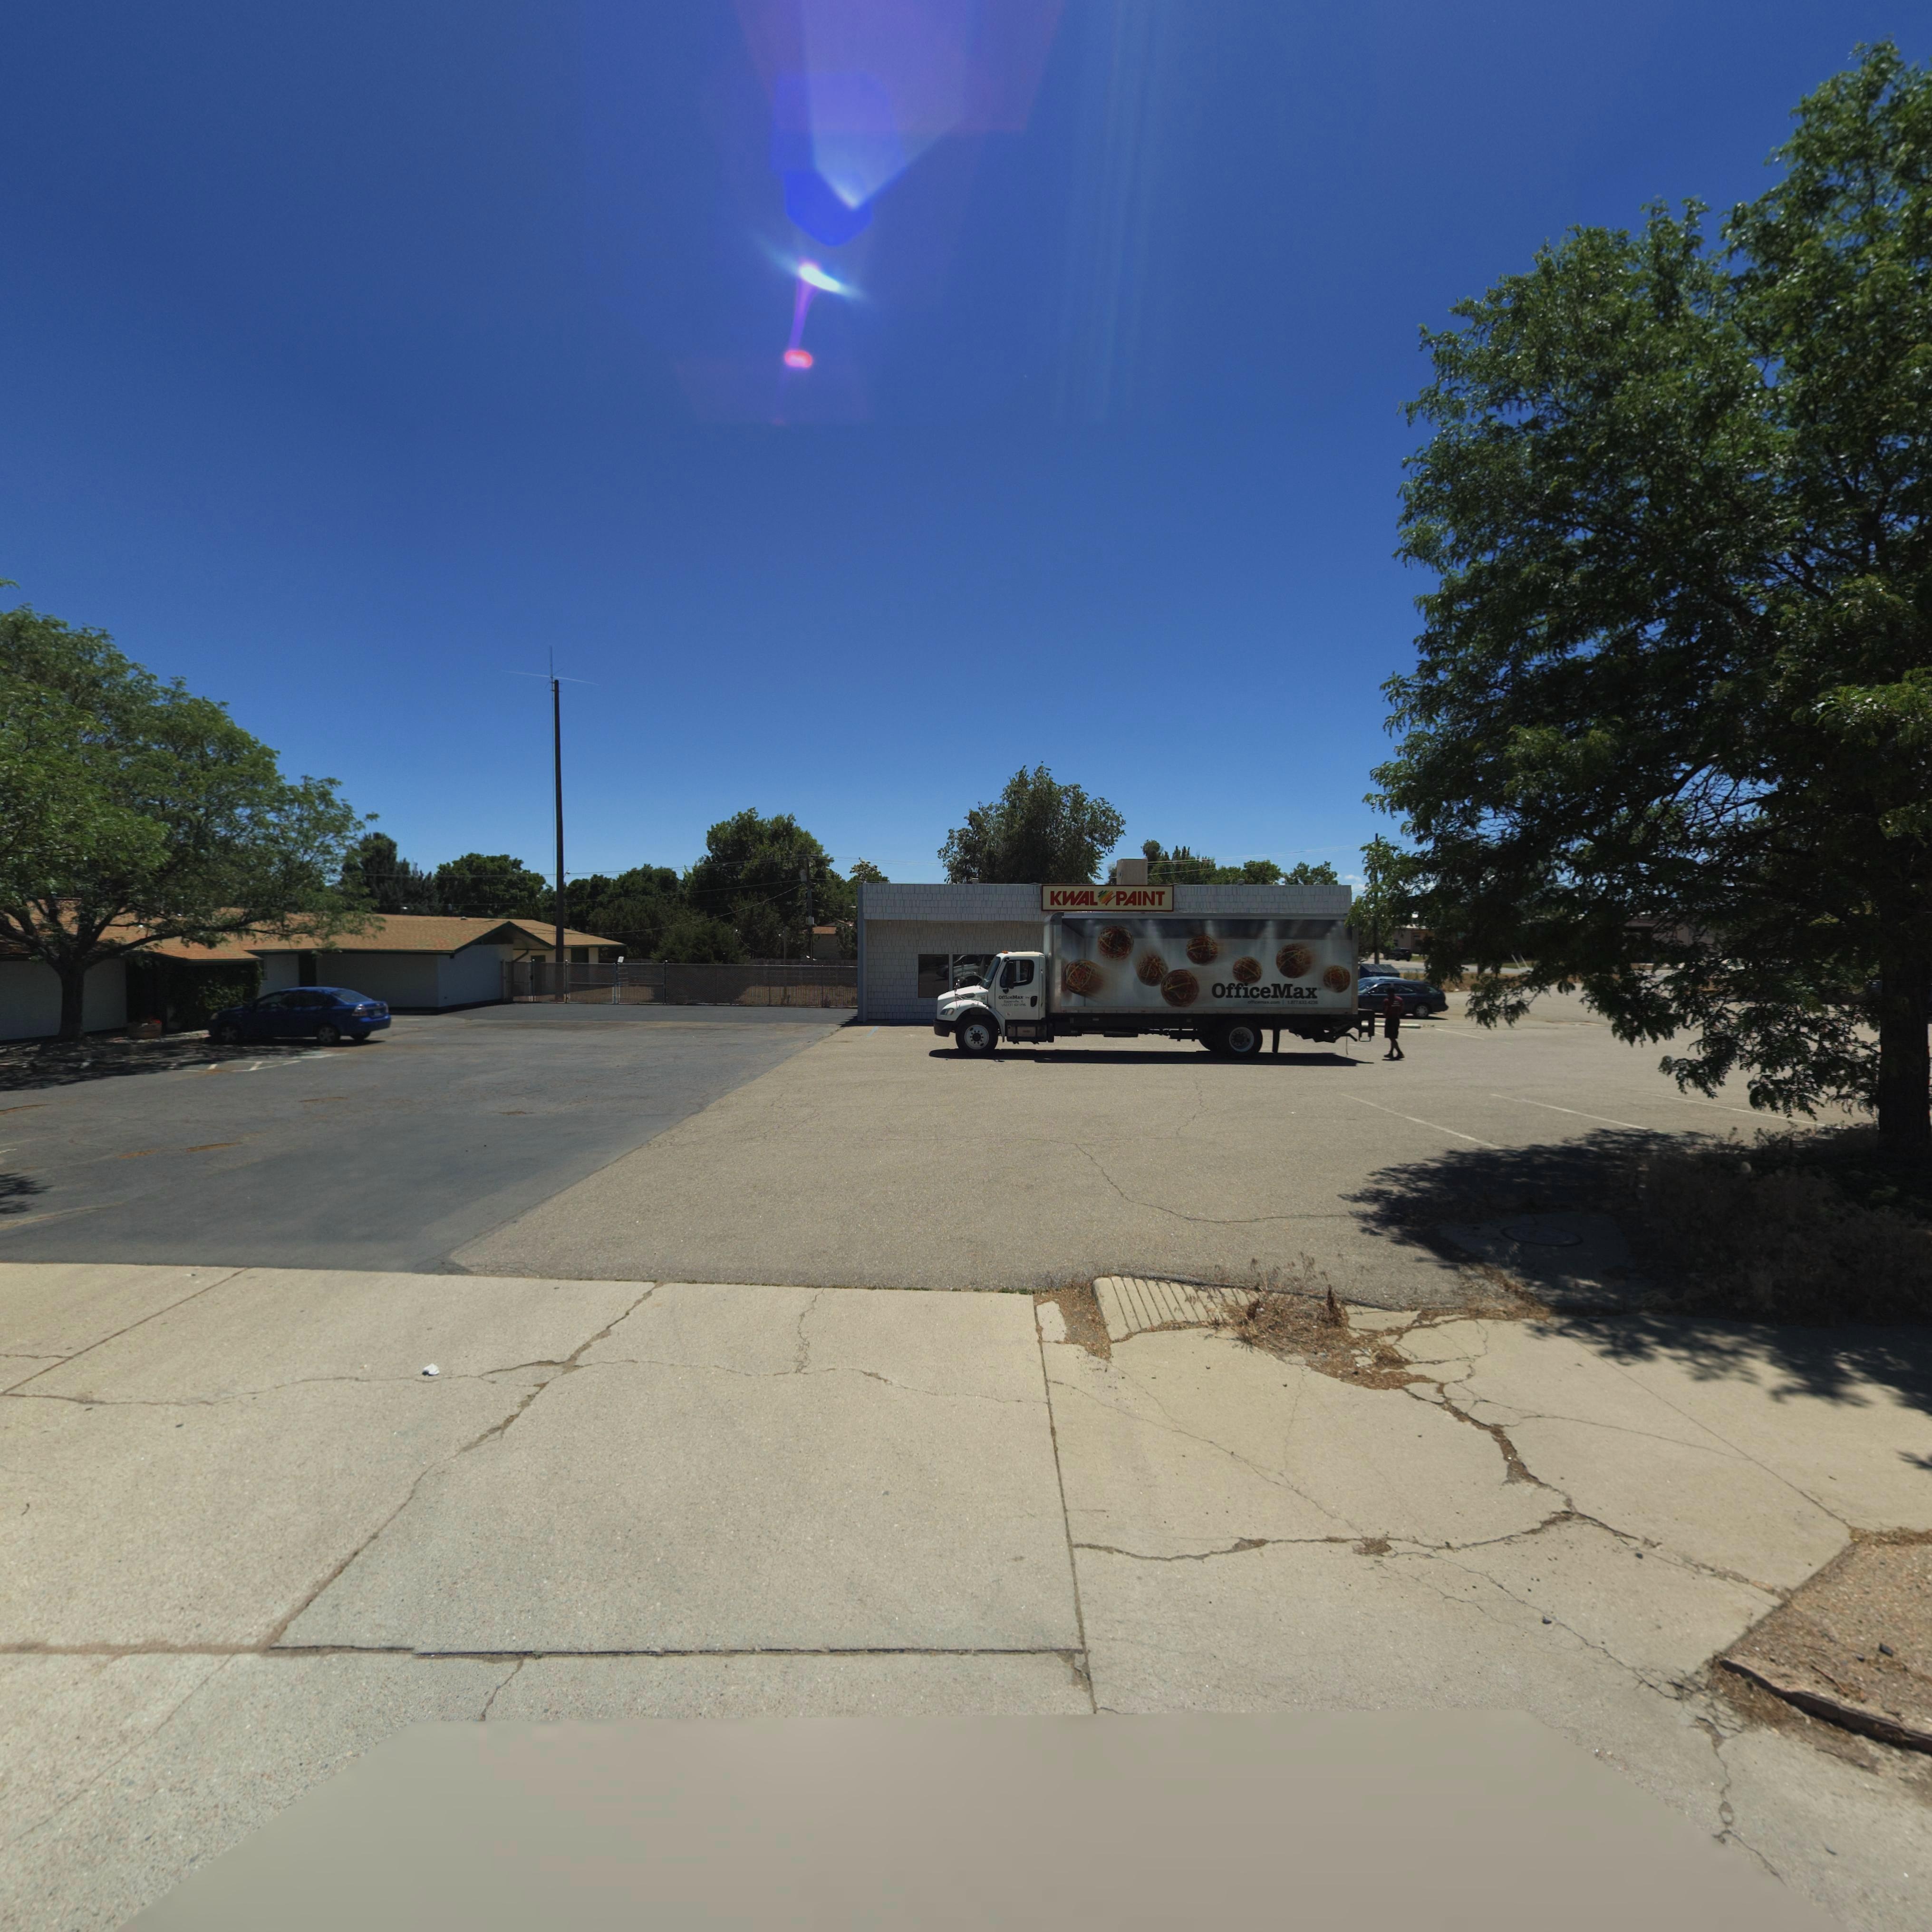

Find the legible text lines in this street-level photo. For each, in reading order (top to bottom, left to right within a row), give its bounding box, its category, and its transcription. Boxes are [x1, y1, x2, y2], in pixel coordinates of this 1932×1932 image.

[1050, 890, 1166, 906] BusinessName: KWAL*PAINT